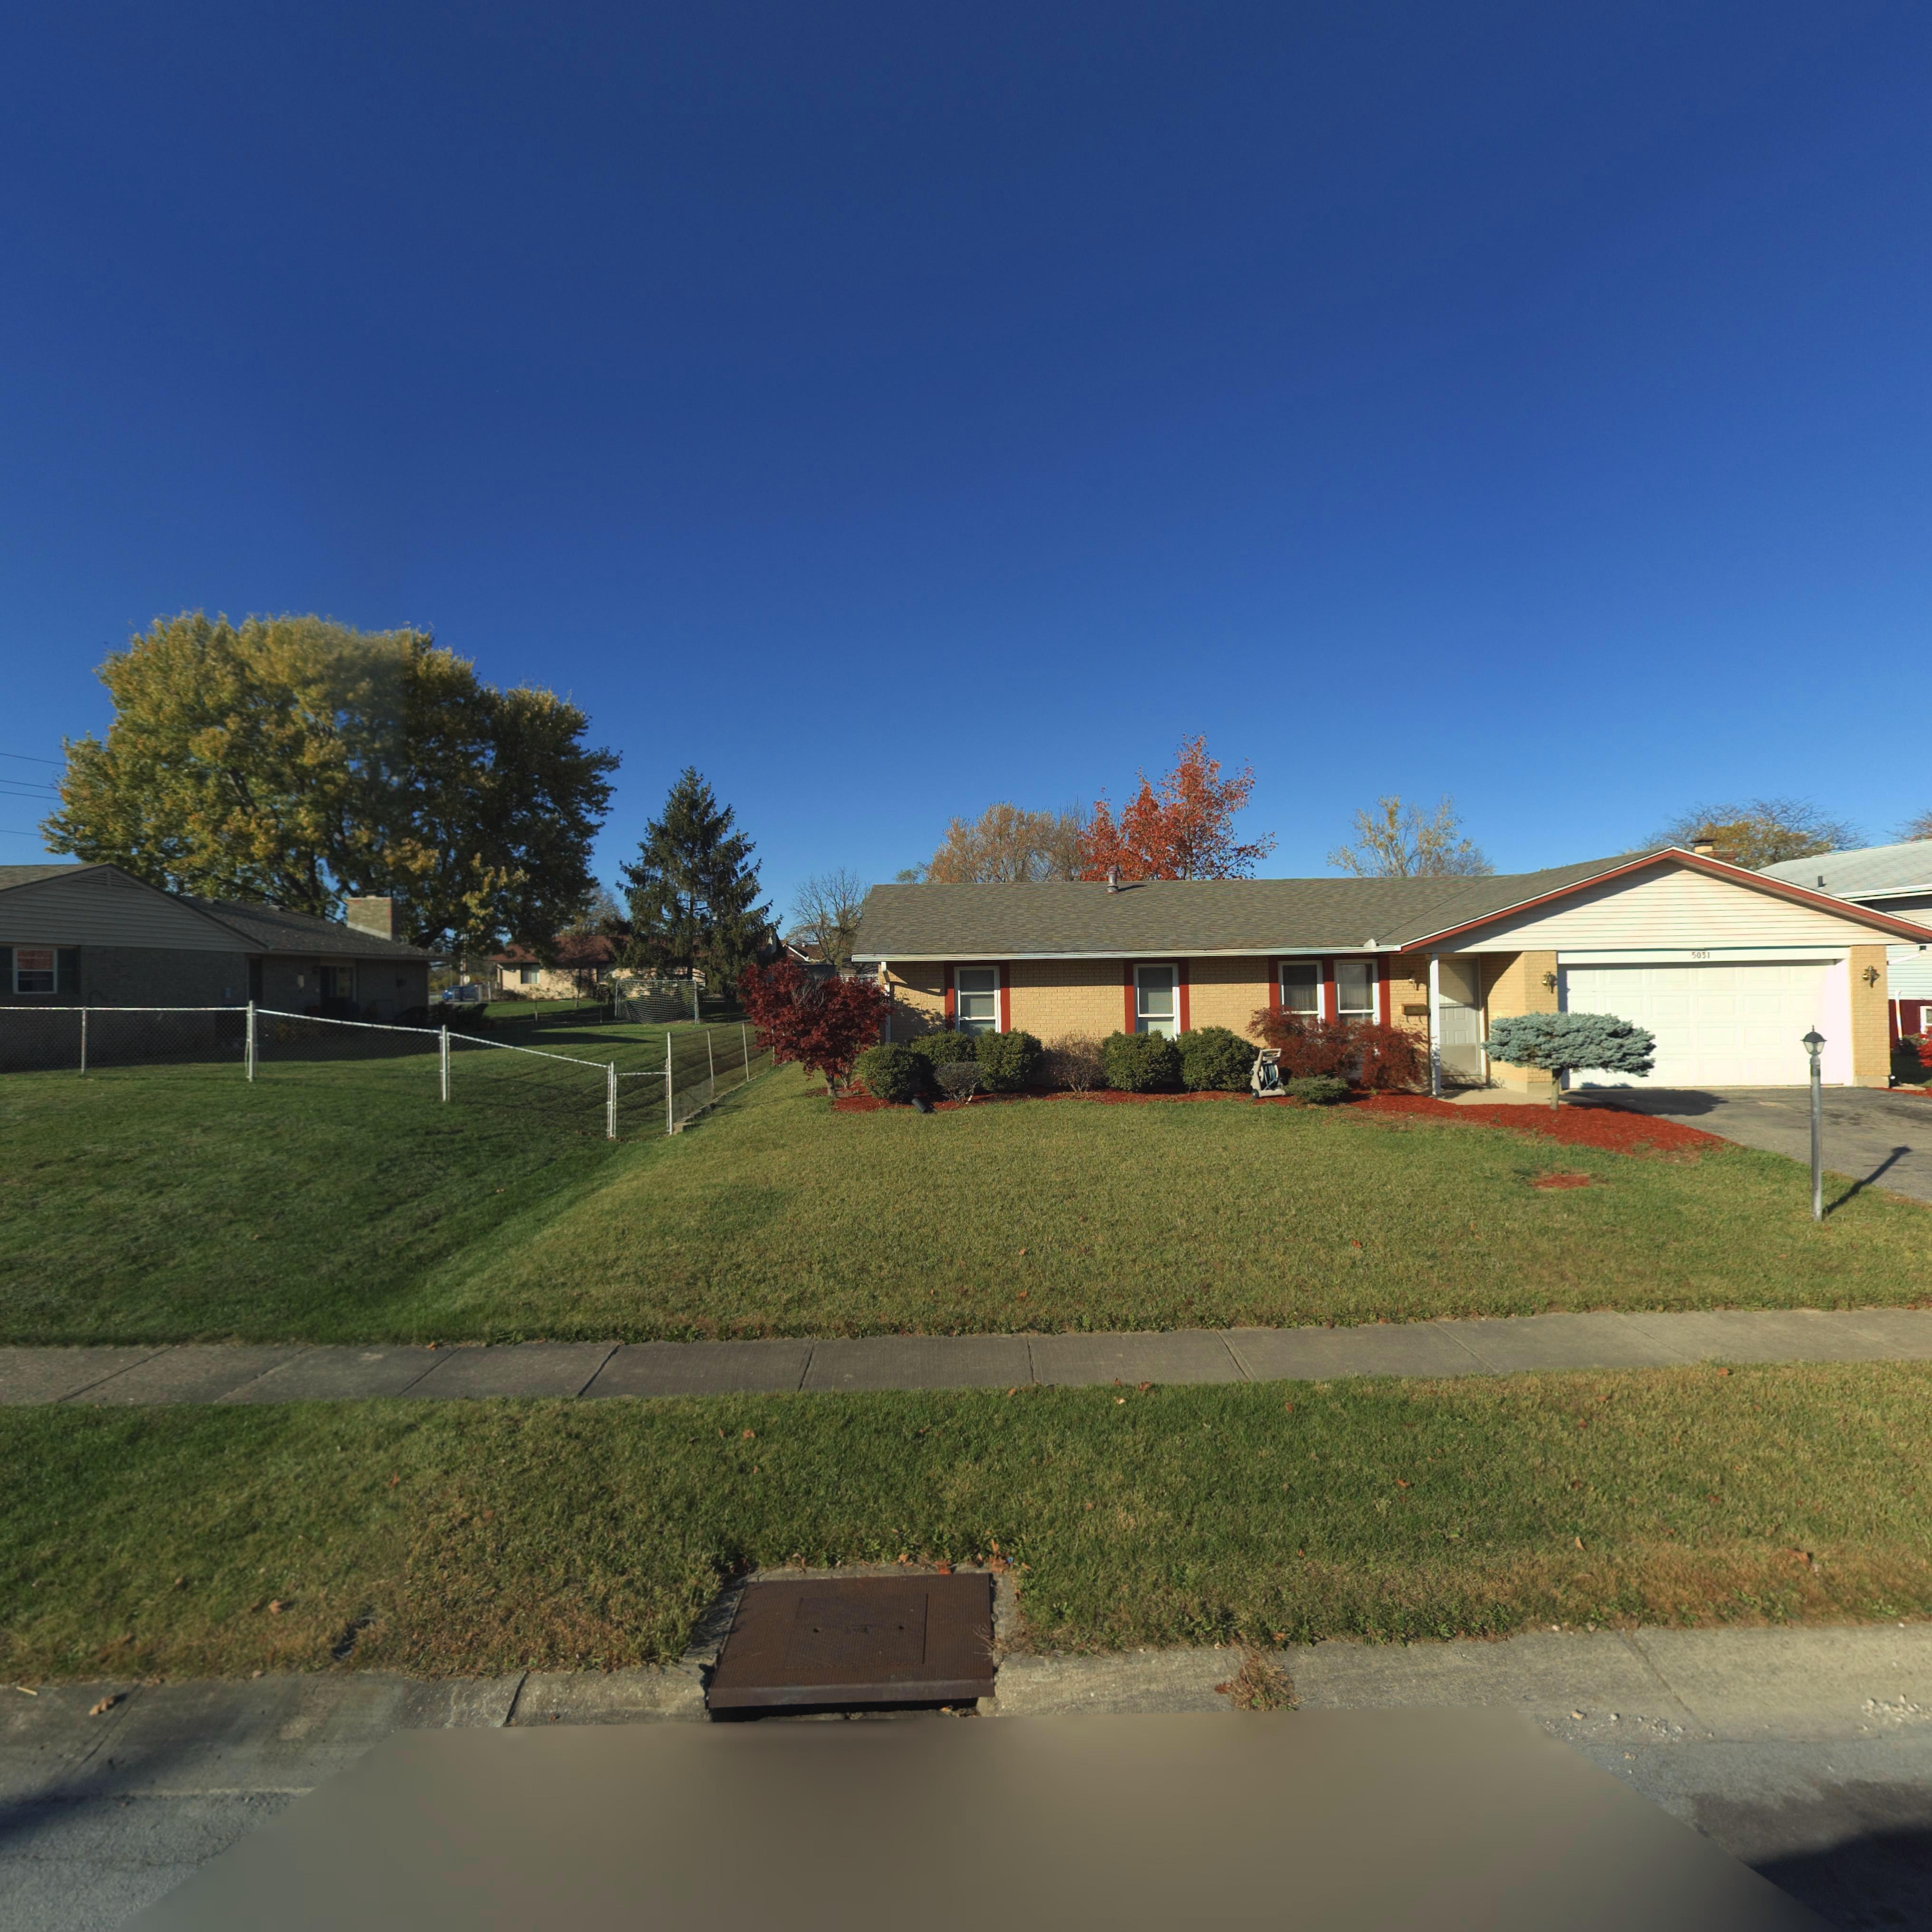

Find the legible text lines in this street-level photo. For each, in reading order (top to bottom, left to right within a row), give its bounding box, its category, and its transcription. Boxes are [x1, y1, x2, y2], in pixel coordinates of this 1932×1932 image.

[1691, 952, 1710, 959] StreetNumber: 5031